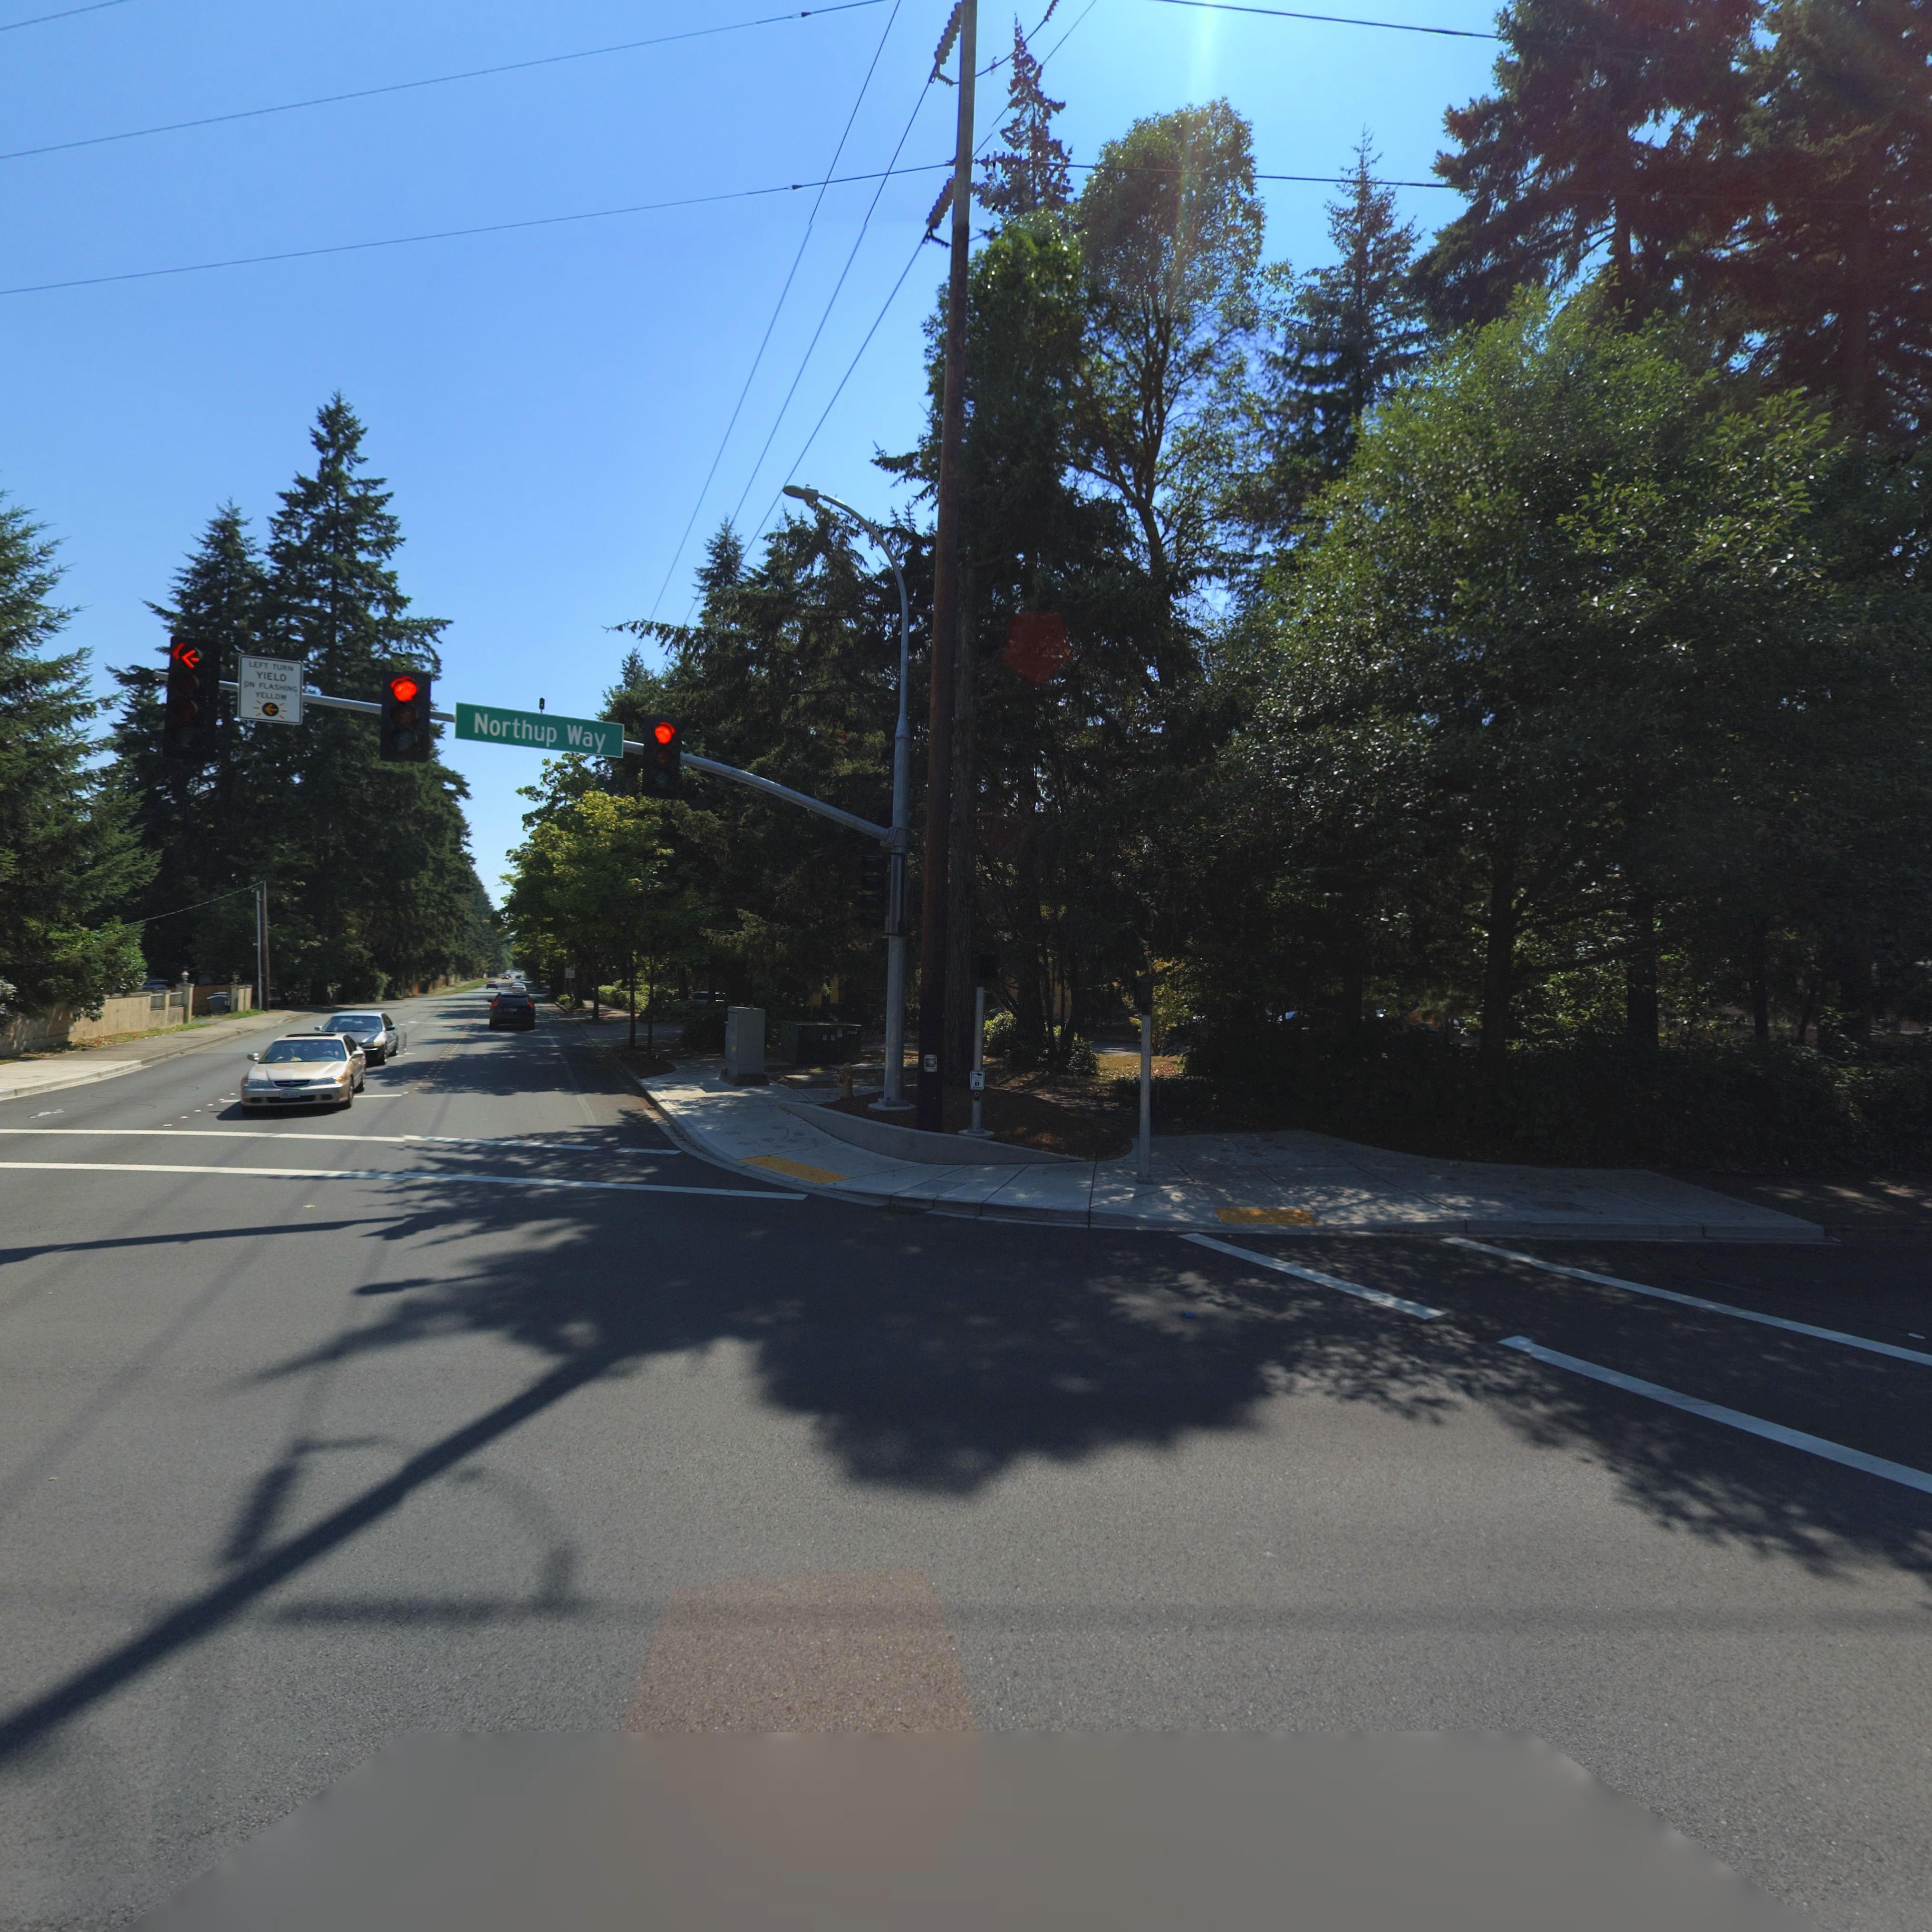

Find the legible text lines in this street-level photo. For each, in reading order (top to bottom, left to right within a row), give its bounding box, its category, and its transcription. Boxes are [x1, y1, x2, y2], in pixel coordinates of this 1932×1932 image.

[473, 711, 607, 754] StreetName: Northup Way